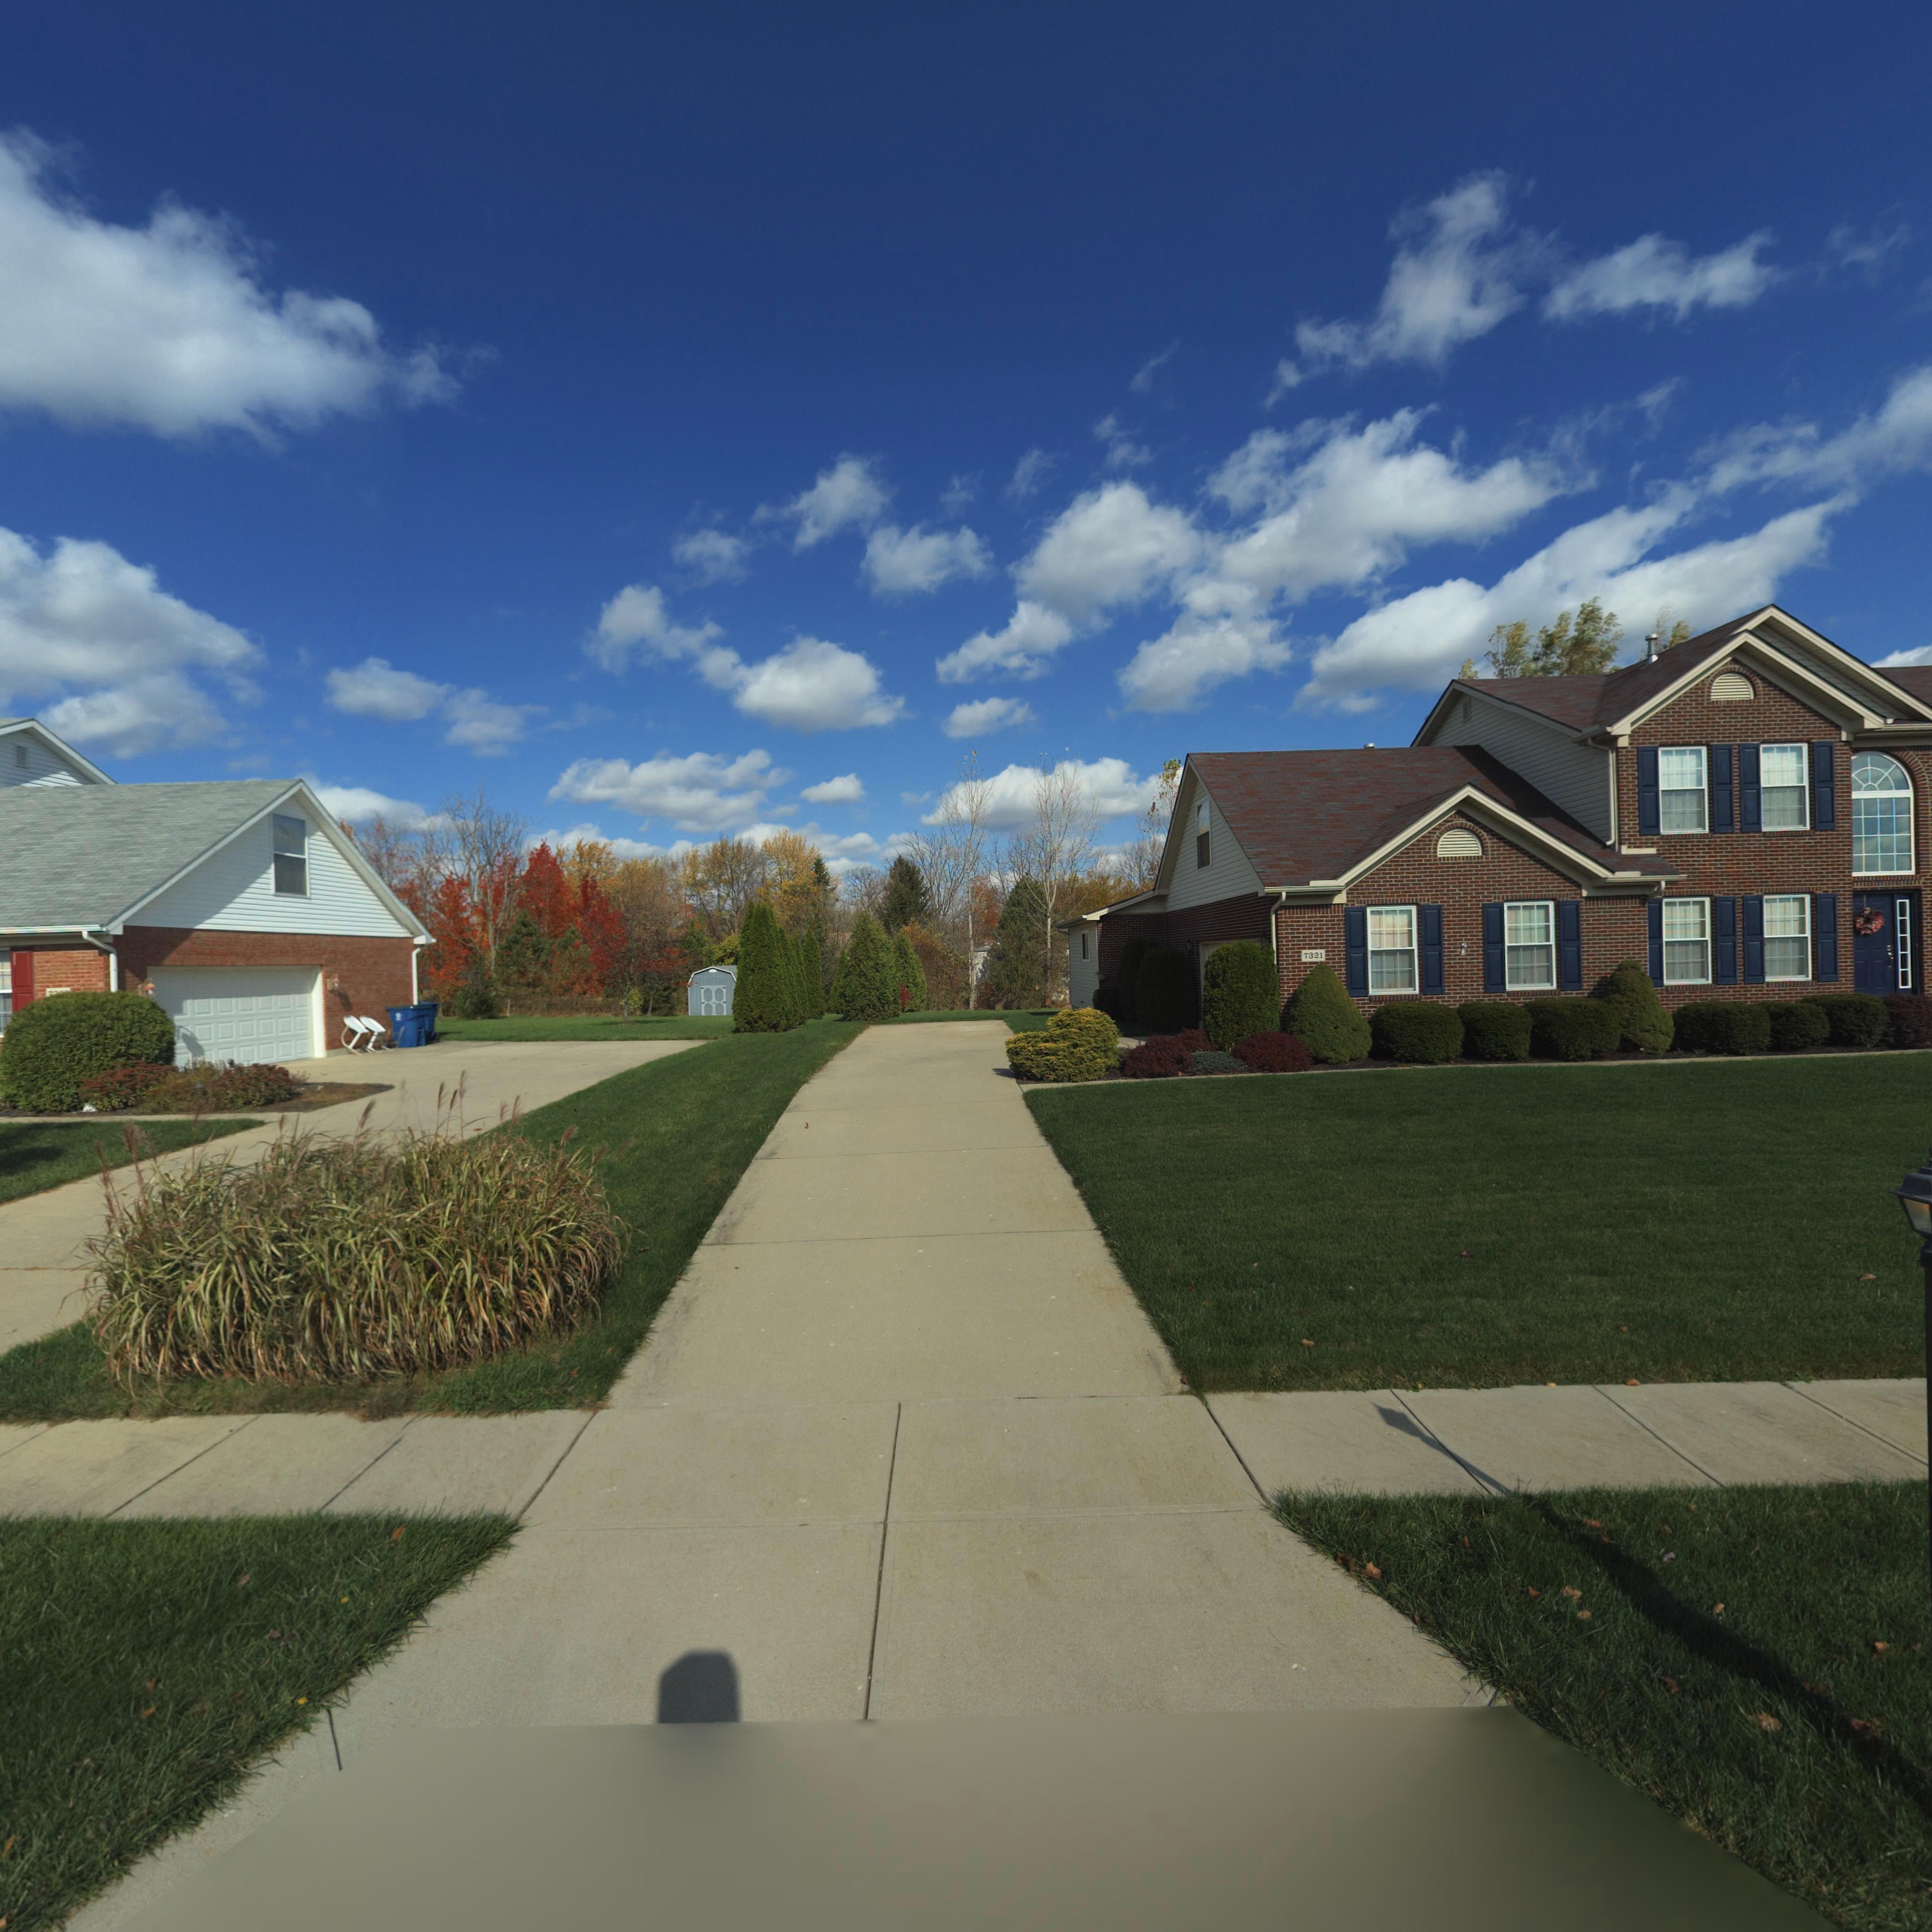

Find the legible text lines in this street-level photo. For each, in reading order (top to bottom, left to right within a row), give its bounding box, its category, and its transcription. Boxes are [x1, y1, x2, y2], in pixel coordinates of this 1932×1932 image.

[1303, 952, 1324, 959] StreetNumber: 7321